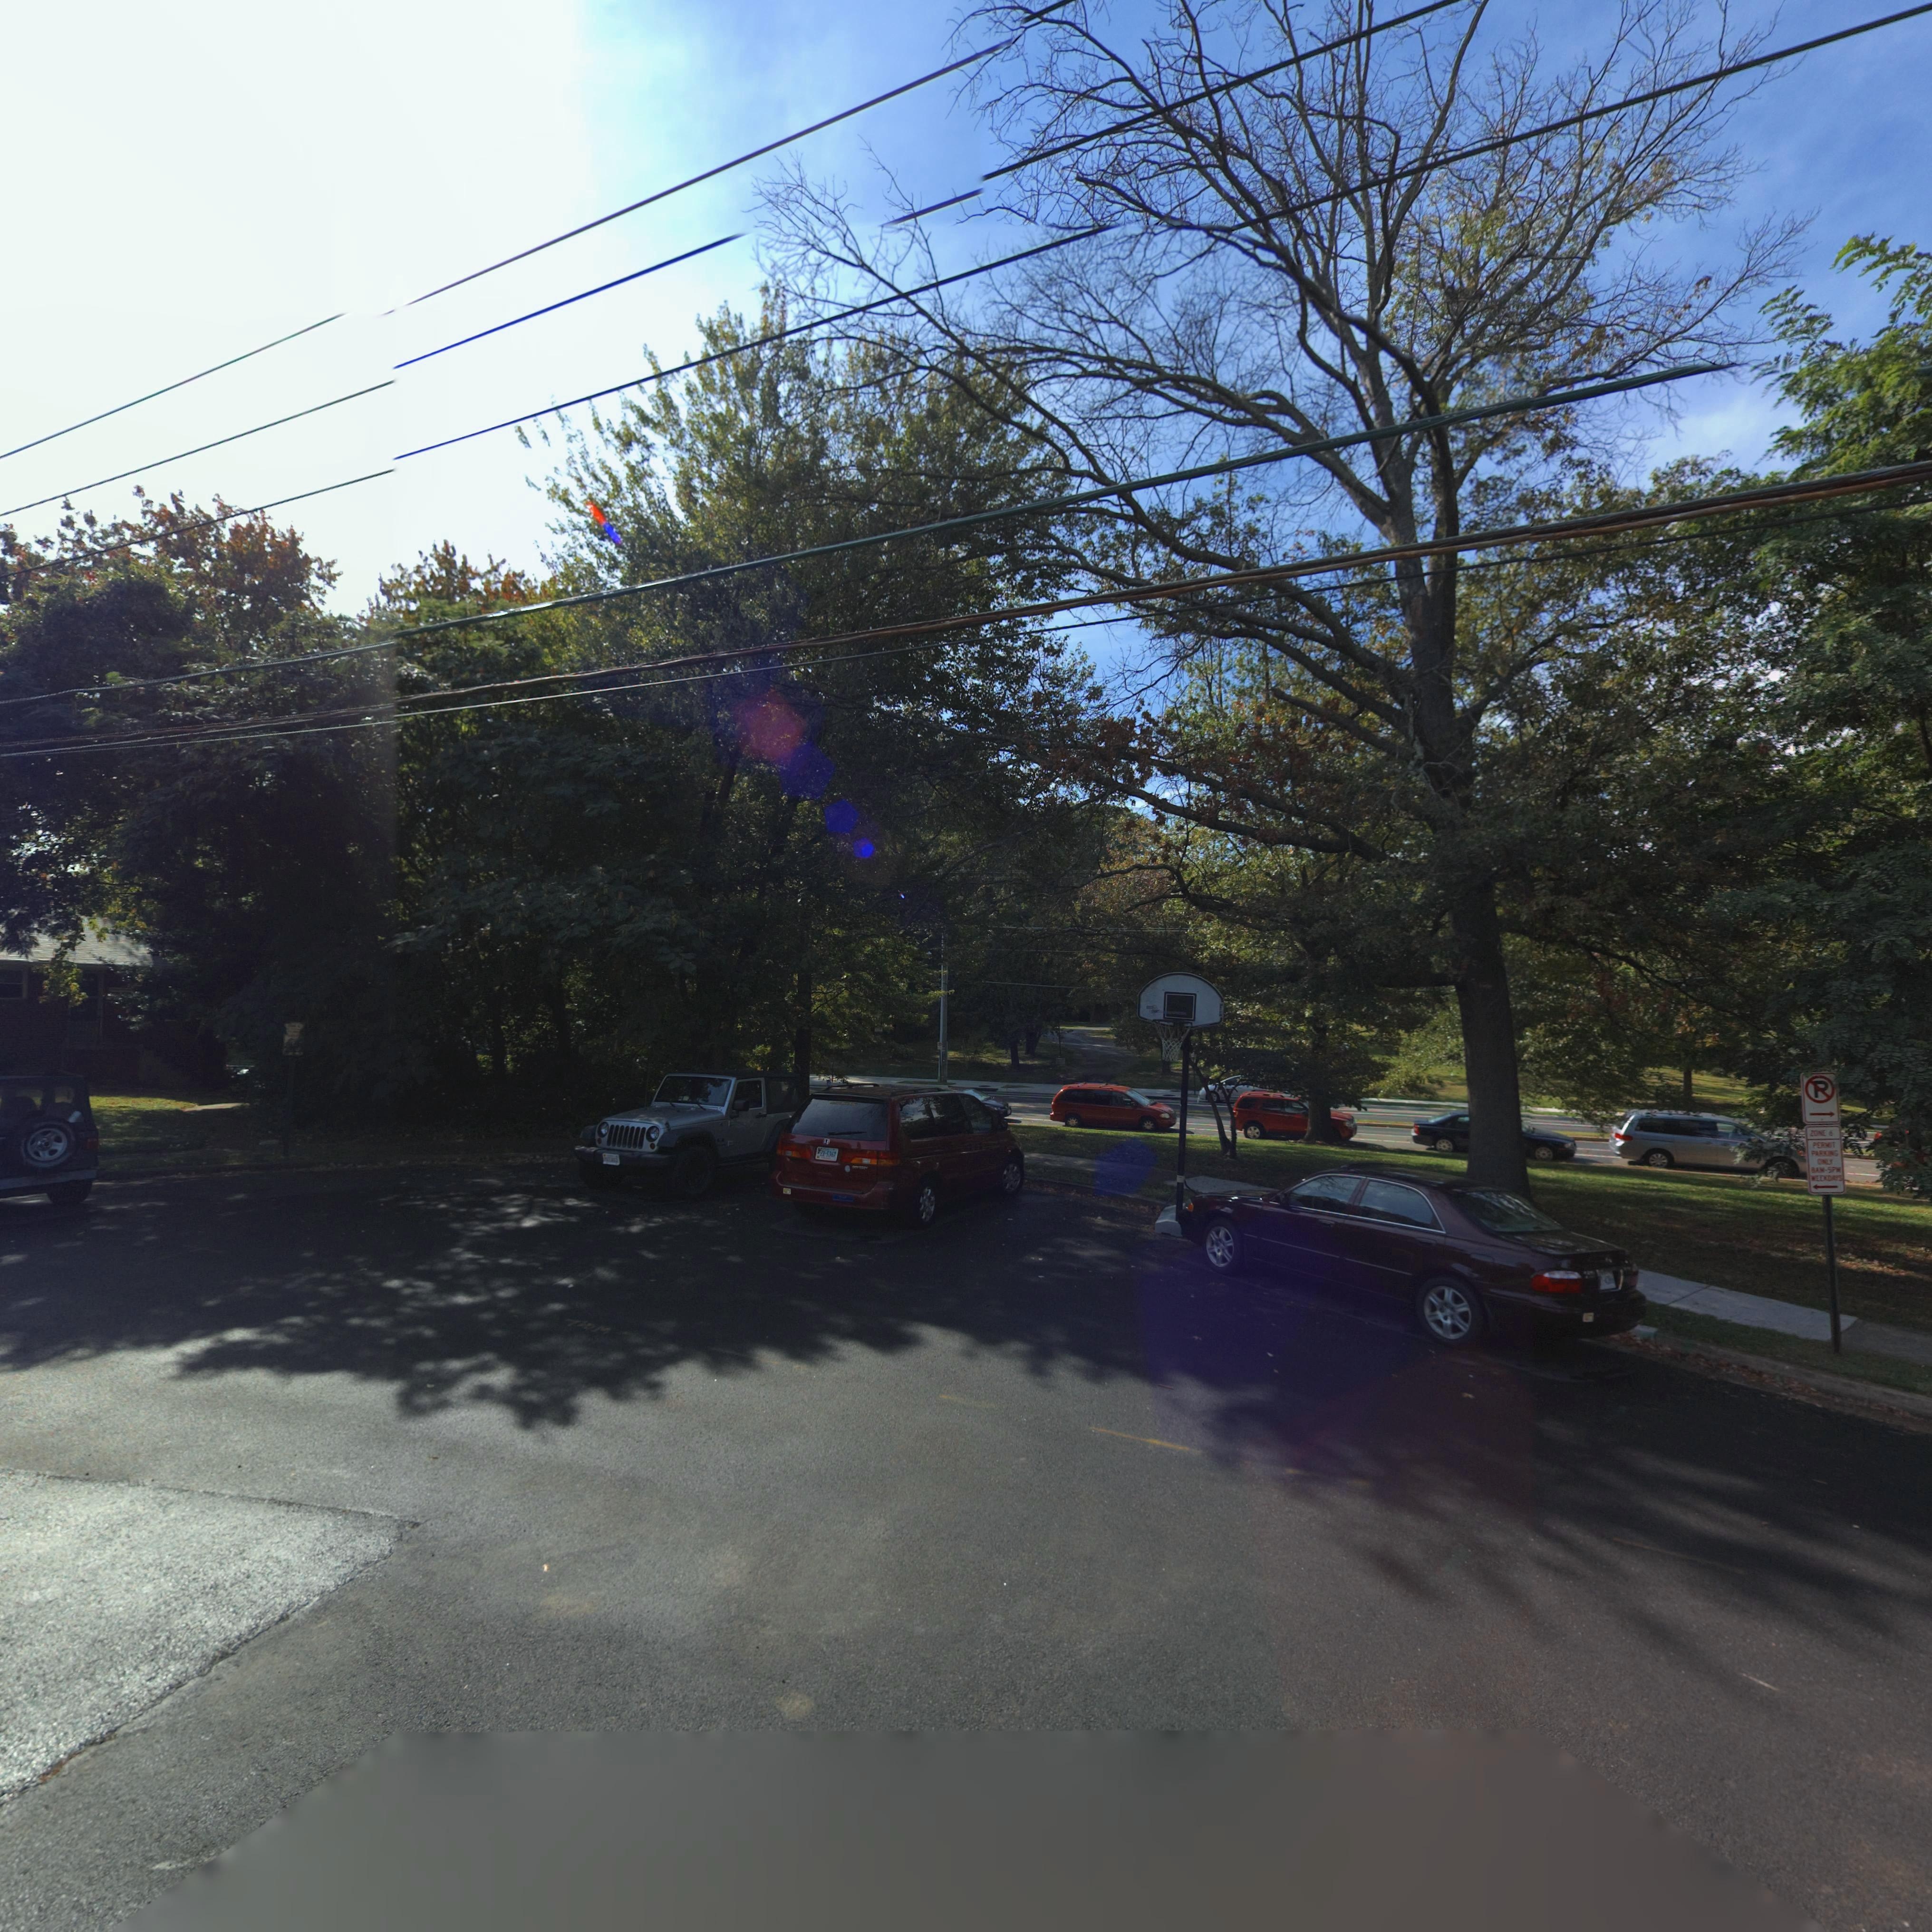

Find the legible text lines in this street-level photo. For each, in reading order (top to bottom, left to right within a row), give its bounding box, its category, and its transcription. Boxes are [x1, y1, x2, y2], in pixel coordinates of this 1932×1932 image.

[1808, 1129, 1835, 1138] None: ZONE 6
[1811, 1140, 1837, 1150] None: PERMIT
[825, 1150, 837, 1158] None: 5367
[1810, 1149, 1840, 1158] None: PARKING
[1816, 1157, 1835, 1167] None: ONLY
[1810, 1165, 1842, 1175] None: 8AM-5PM
[1808, 1173, 1845, 1183] None: WEEKDAYS